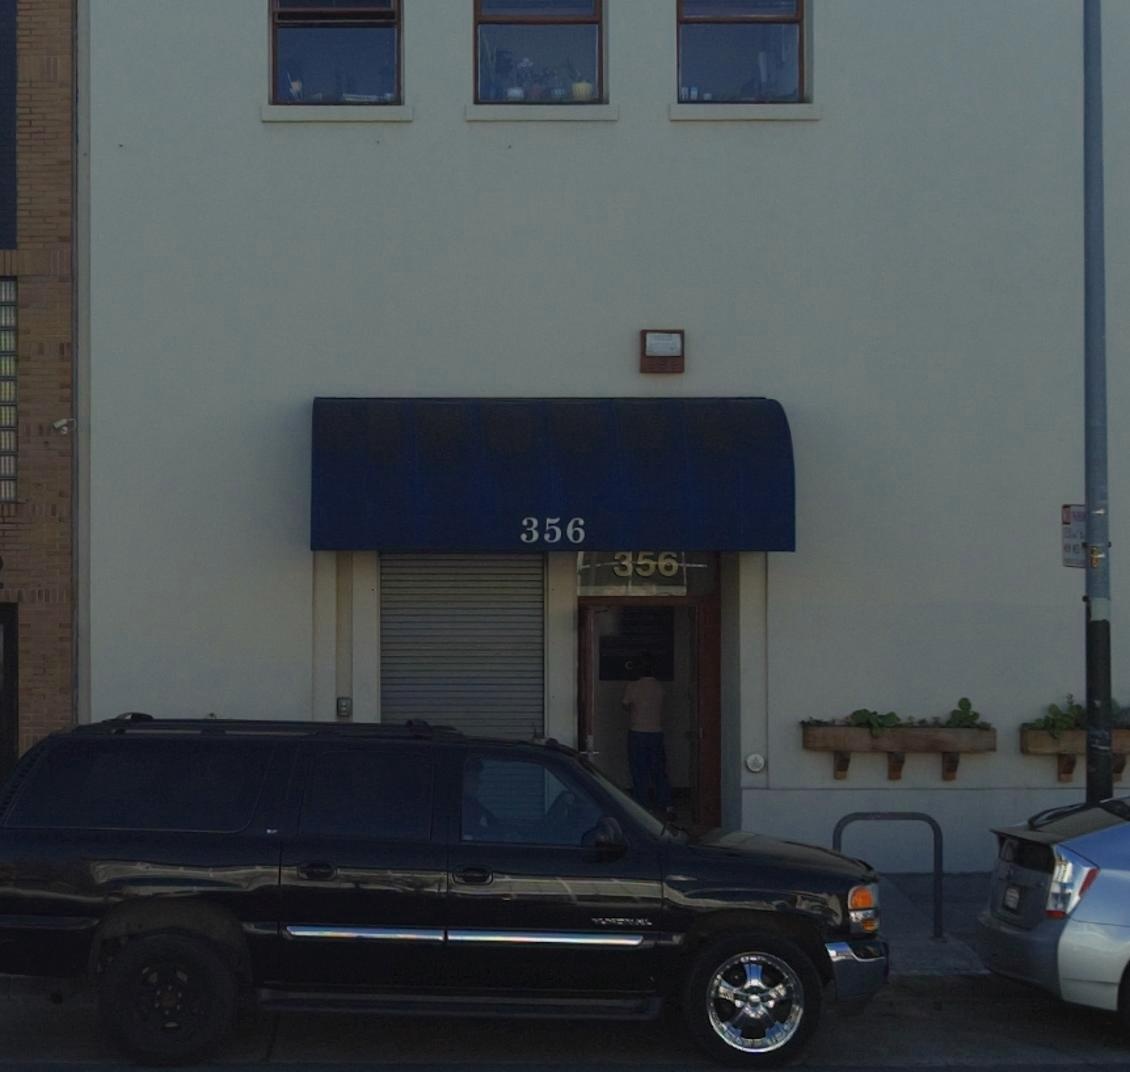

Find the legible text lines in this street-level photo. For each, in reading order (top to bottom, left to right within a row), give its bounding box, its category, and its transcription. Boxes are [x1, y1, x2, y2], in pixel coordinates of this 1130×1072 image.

[520, 515, 587, 545] StreetNumber: 356
[612, 549, 680, 578] StreetNumber: 356